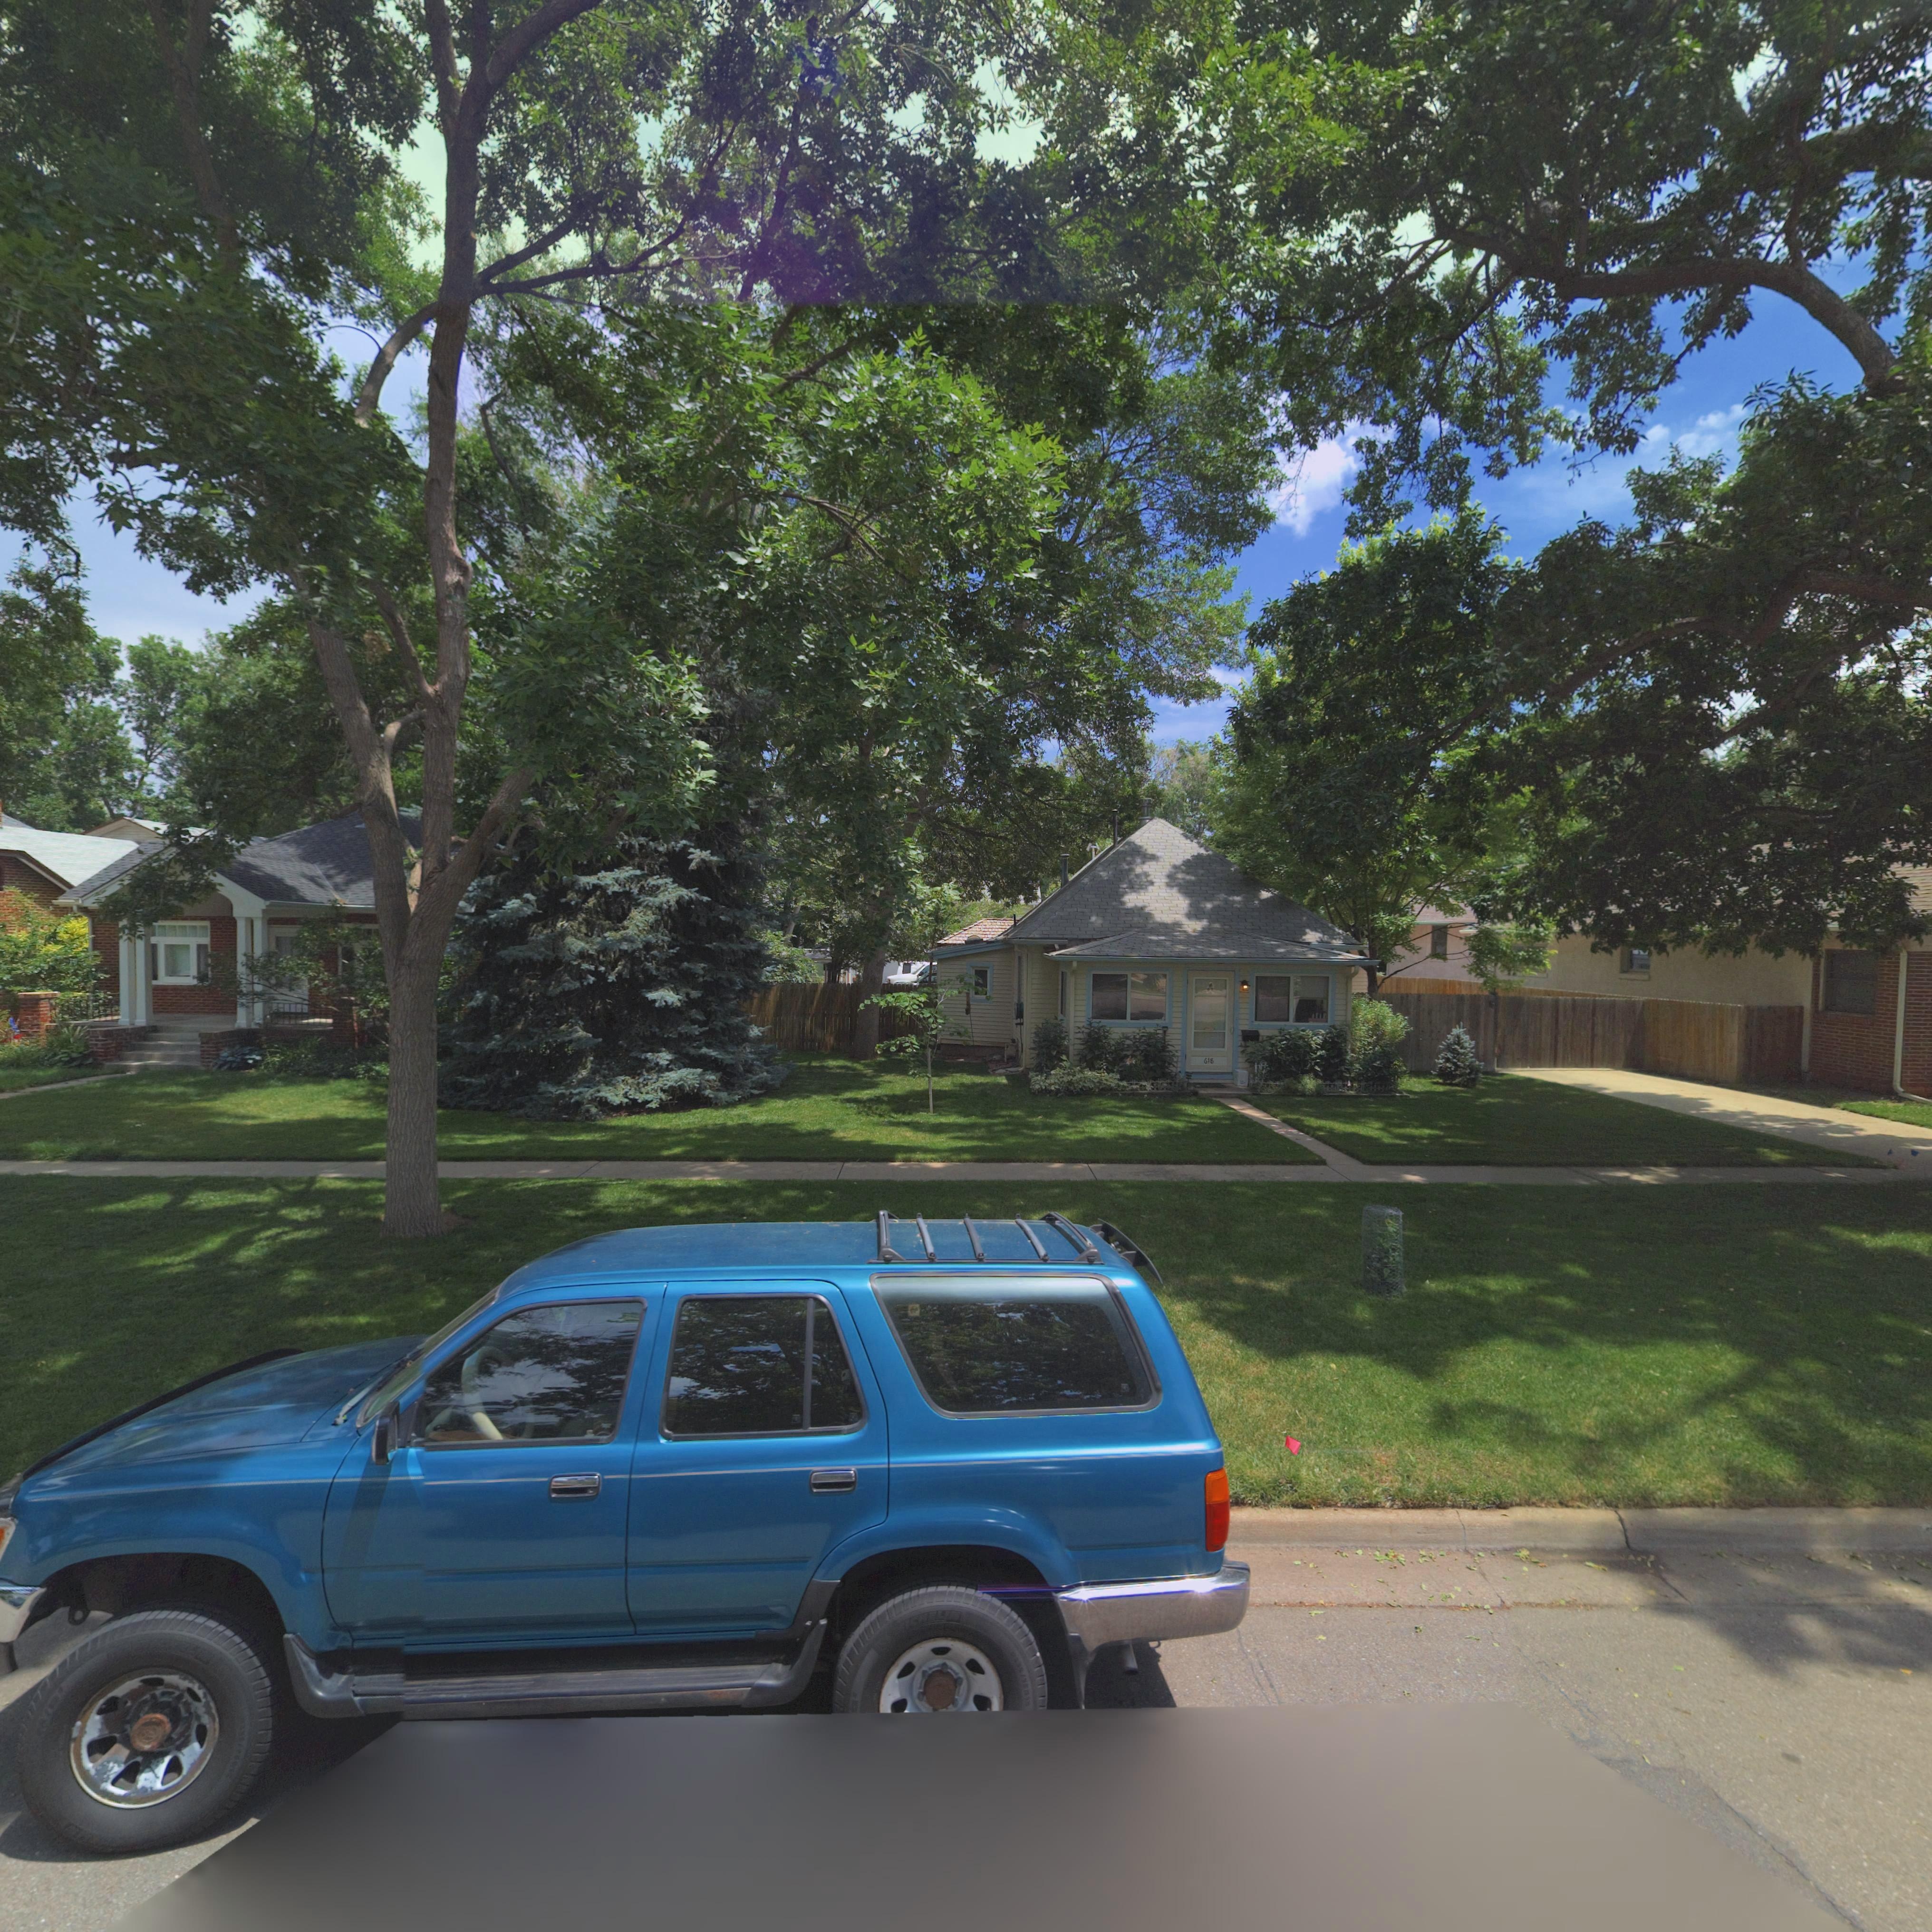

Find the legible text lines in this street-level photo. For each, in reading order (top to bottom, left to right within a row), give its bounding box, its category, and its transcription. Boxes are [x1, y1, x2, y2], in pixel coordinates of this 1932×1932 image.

[1203, 1057, 1215, 1064] StreetNumber: 618